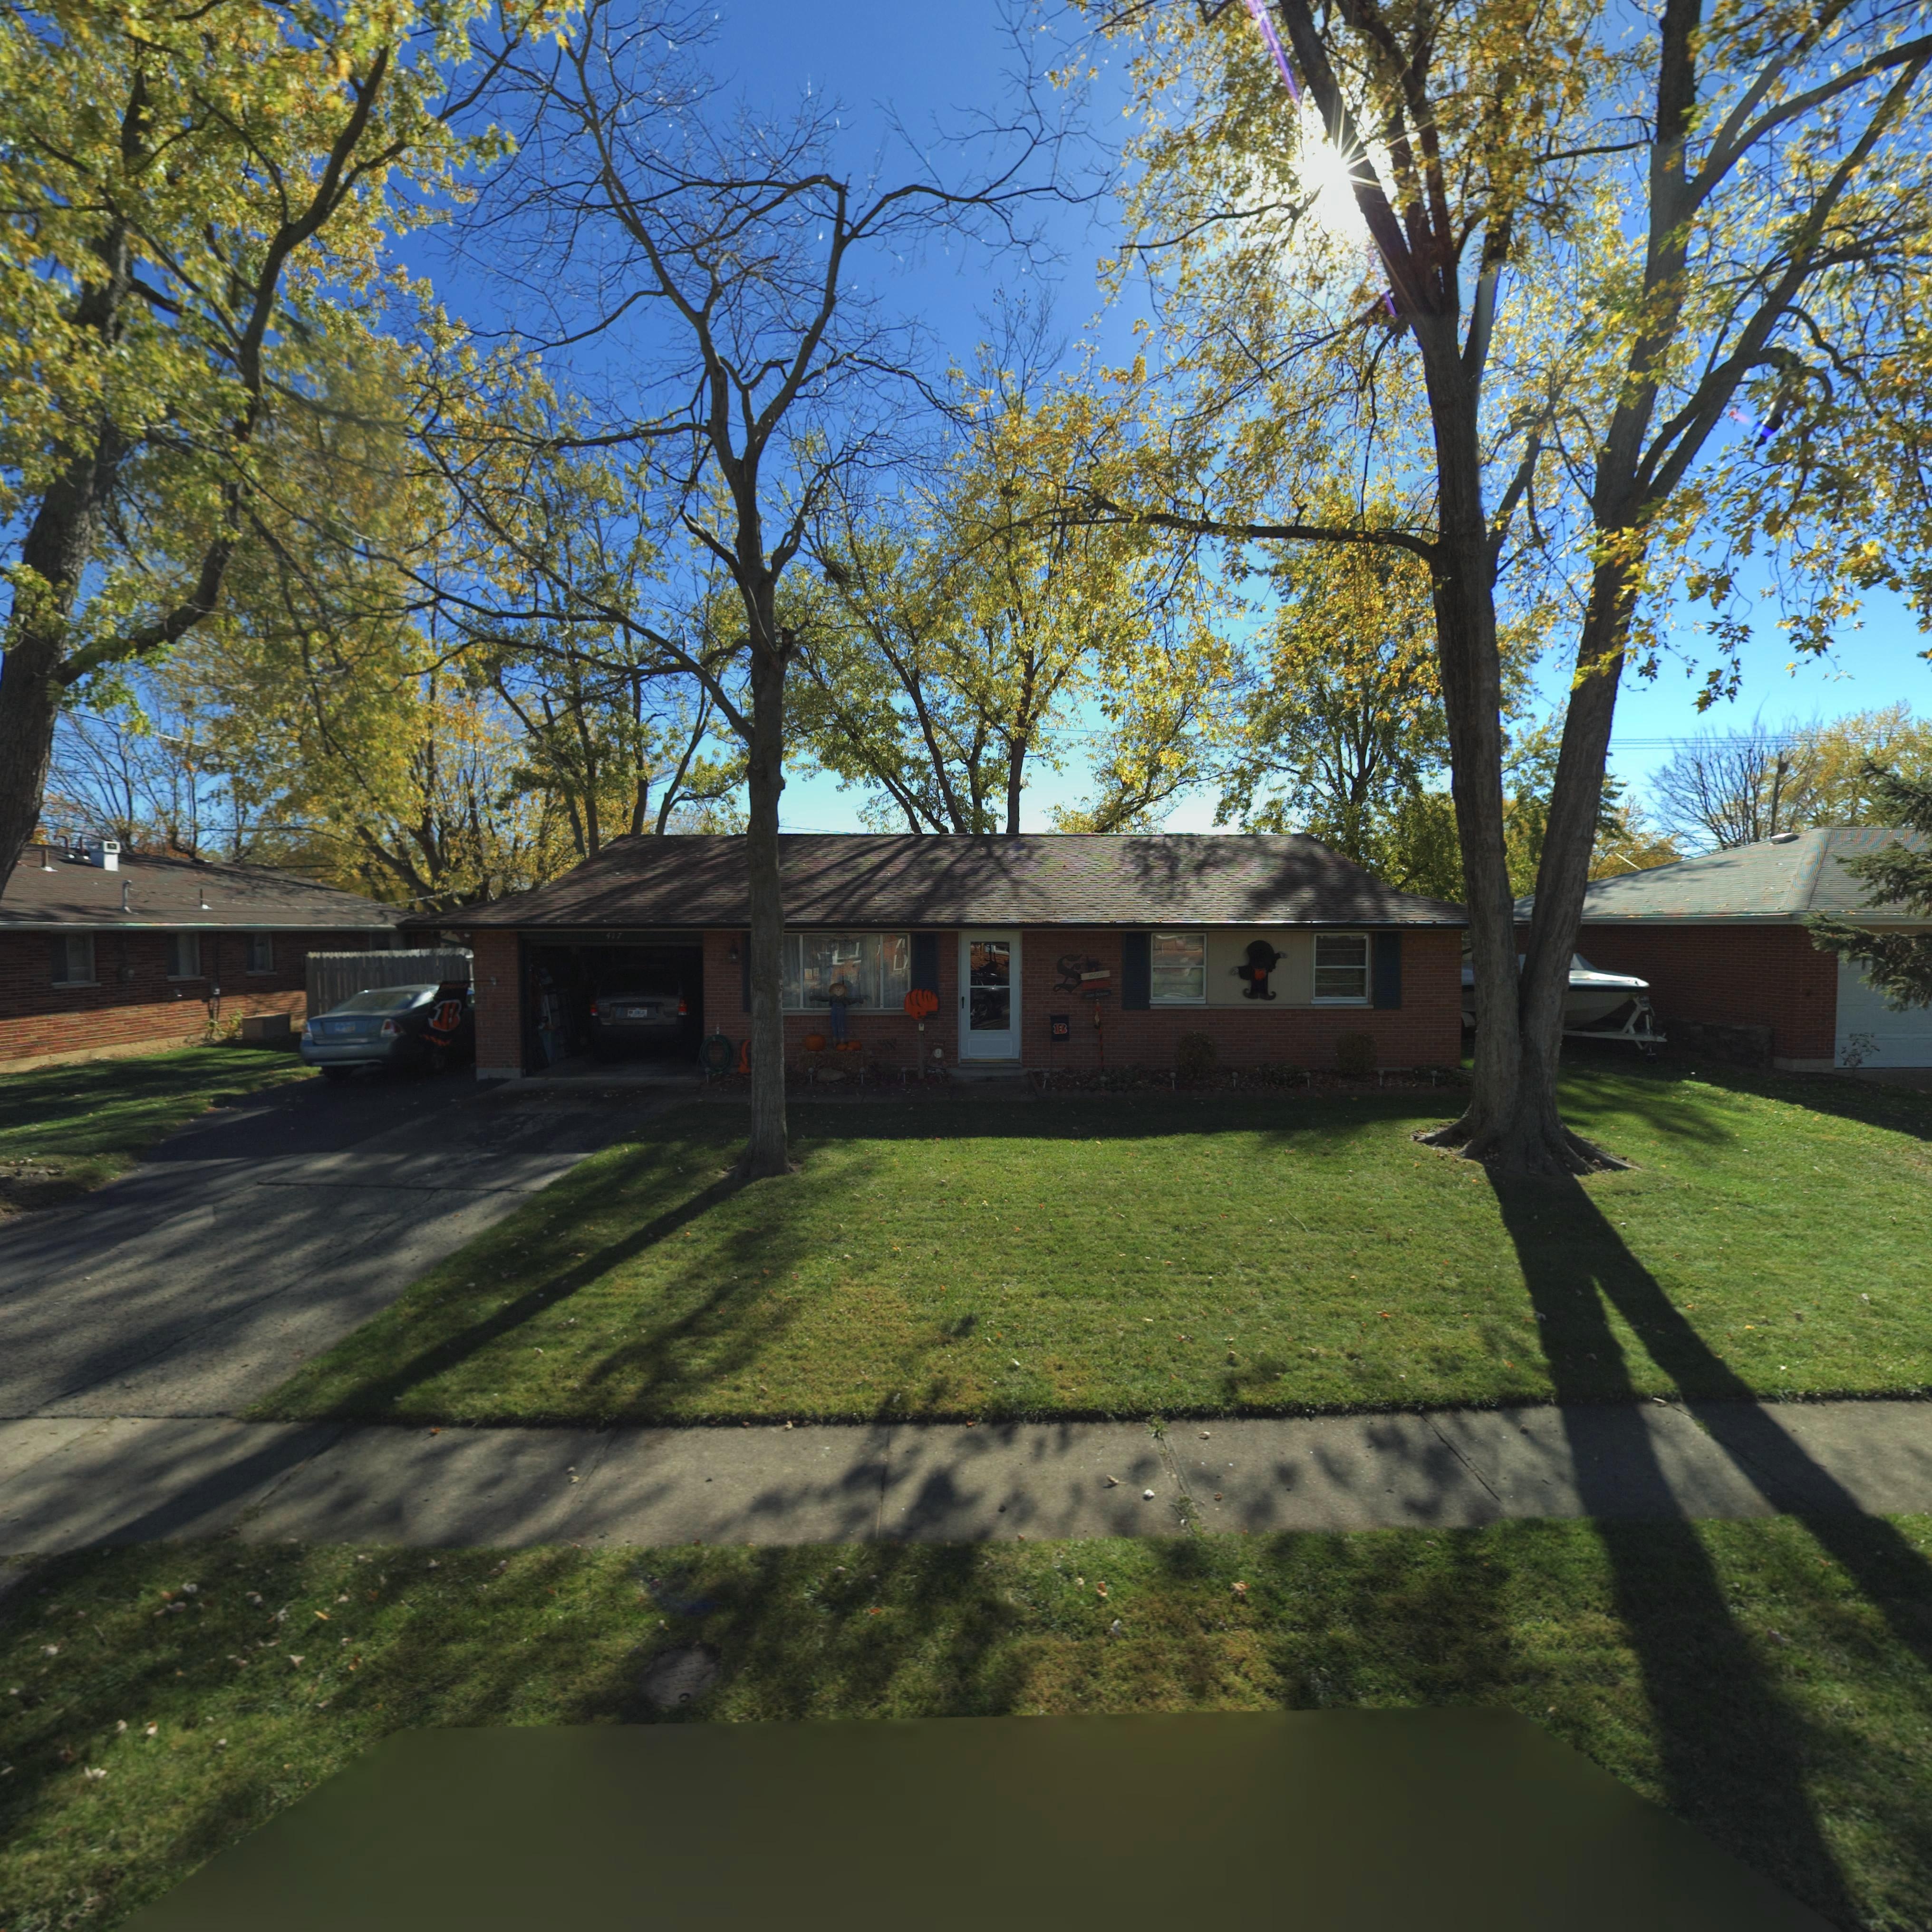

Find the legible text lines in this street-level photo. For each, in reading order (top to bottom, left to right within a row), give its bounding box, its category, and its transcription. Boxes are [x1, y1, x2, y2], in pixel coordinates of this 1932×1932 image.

[605, 931, 623, 940] StreetNumber: 417